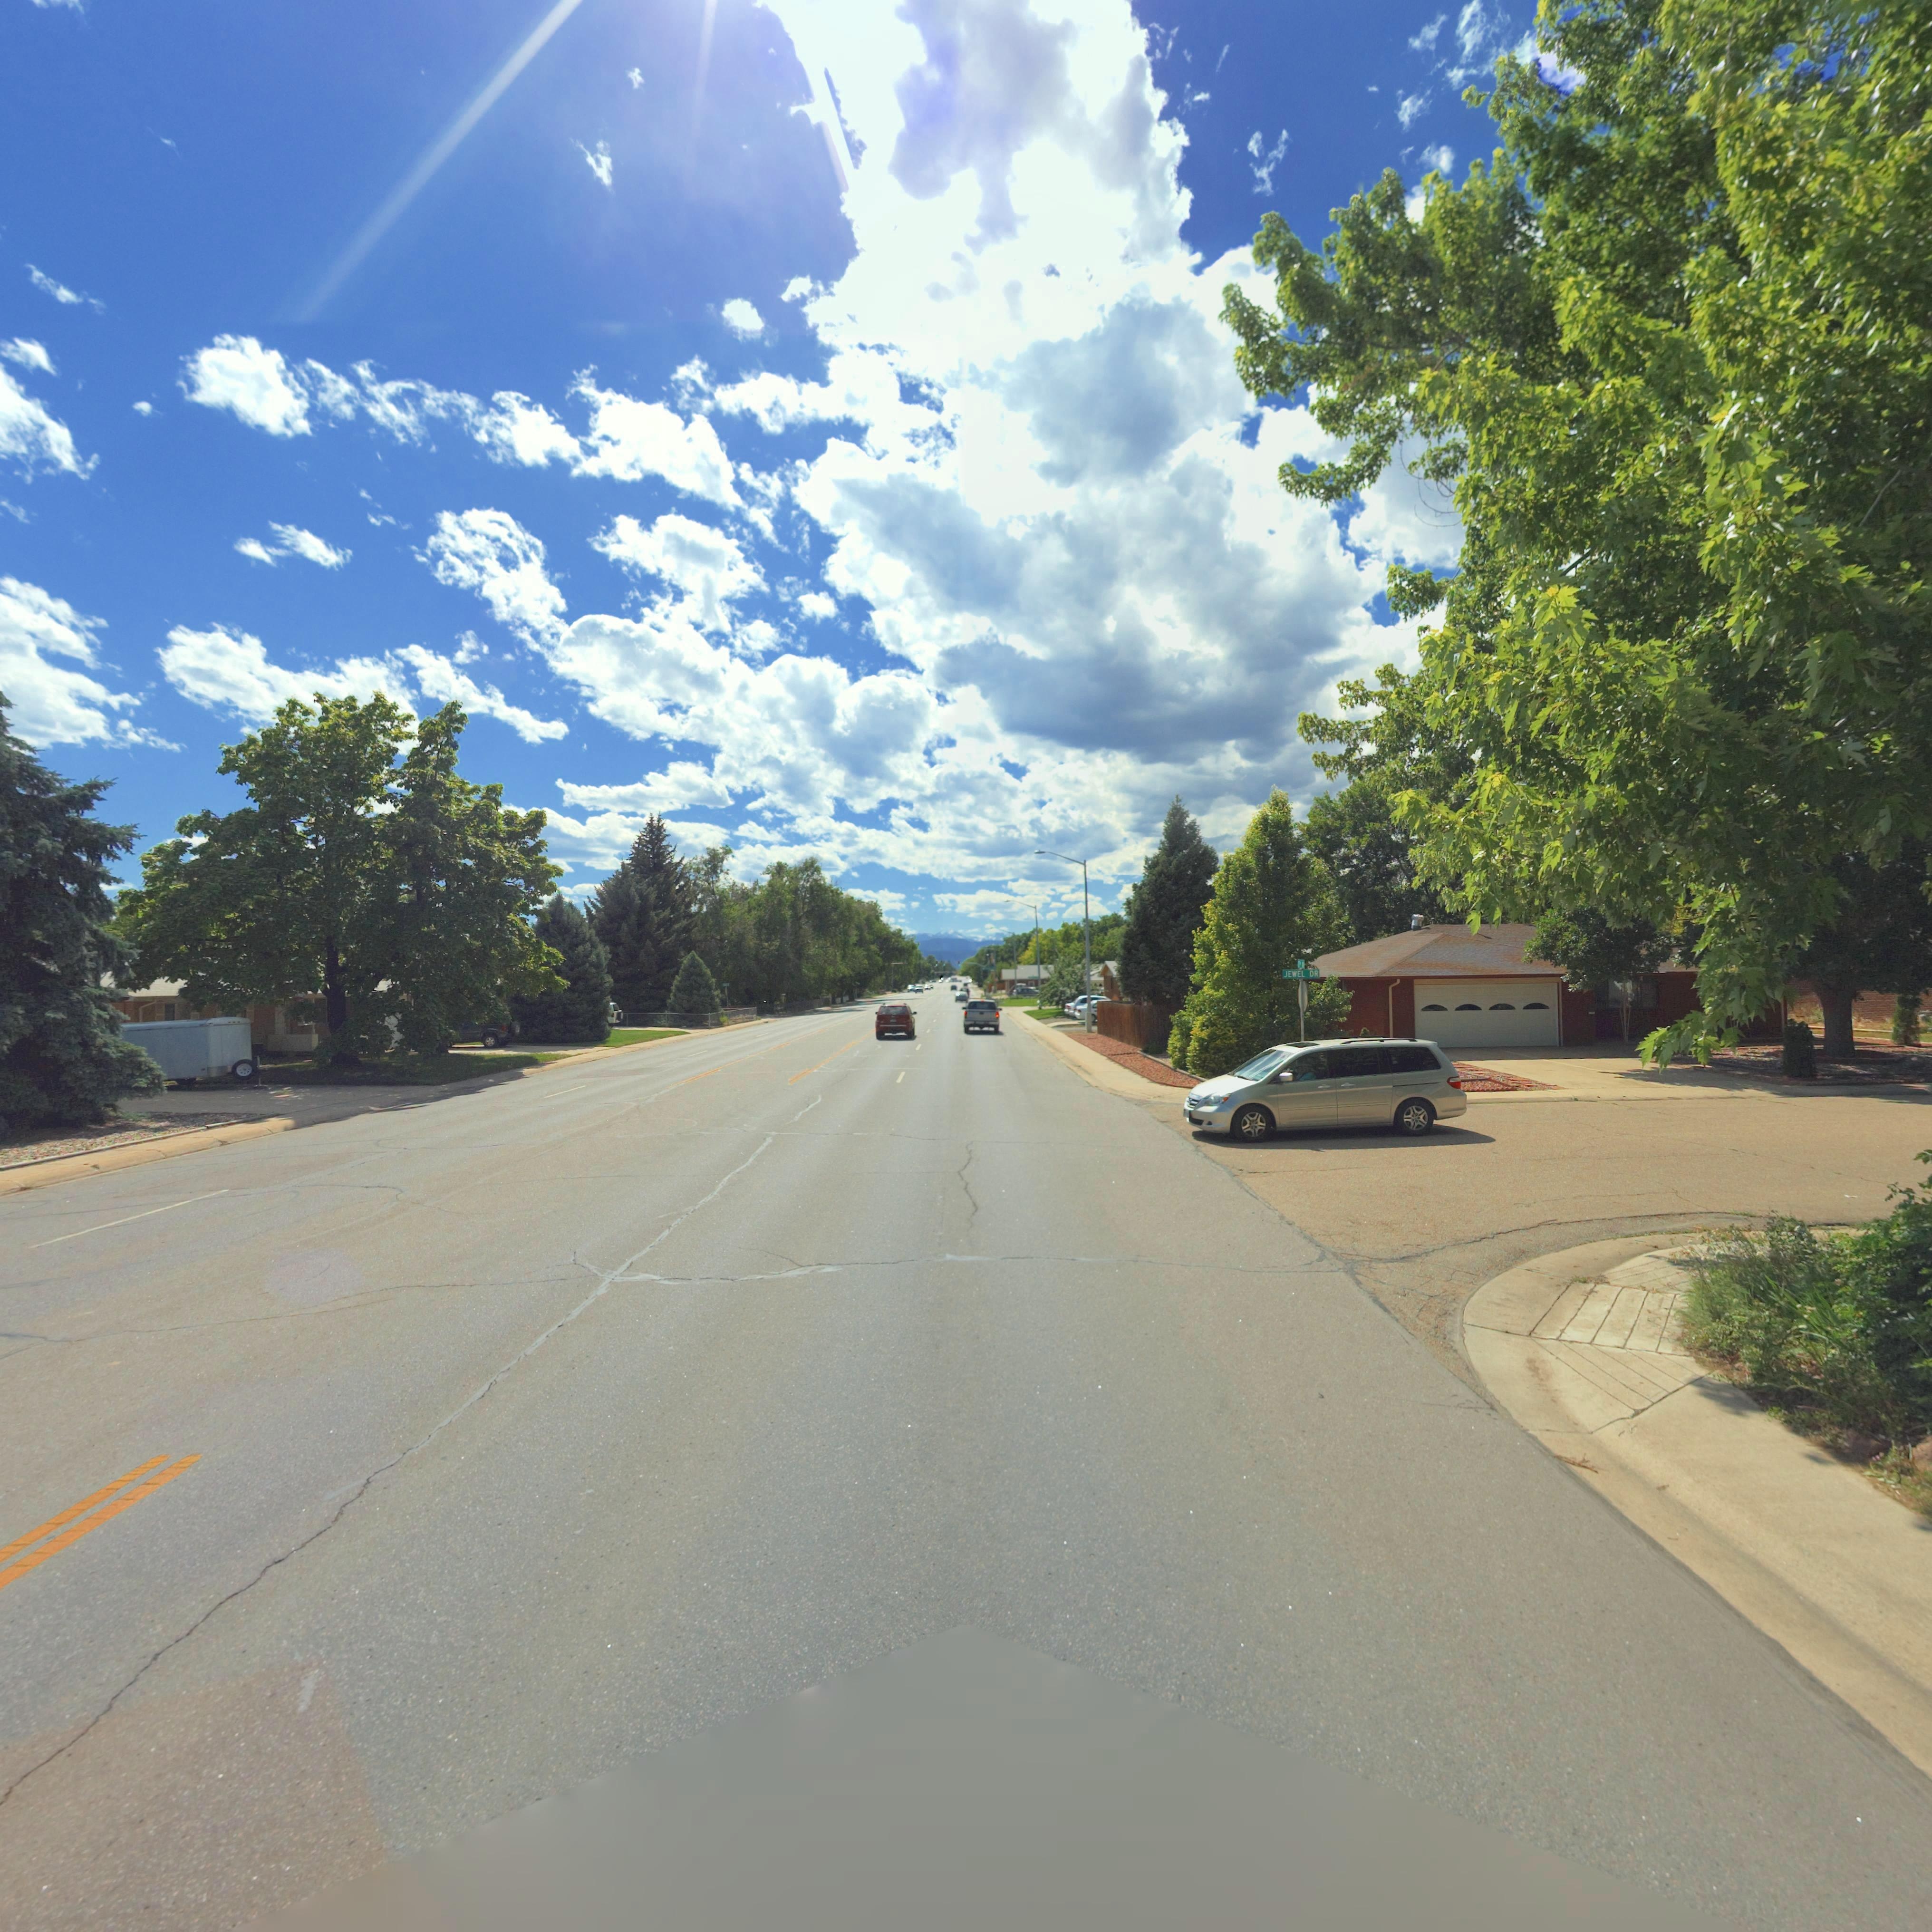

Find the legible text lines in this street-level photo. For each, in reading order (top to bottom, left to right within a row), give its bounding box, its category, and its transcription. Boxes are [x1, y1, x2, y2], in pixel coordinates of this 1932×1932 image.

[1283, 970, 1319, 978] StreetName: JEWEL DR